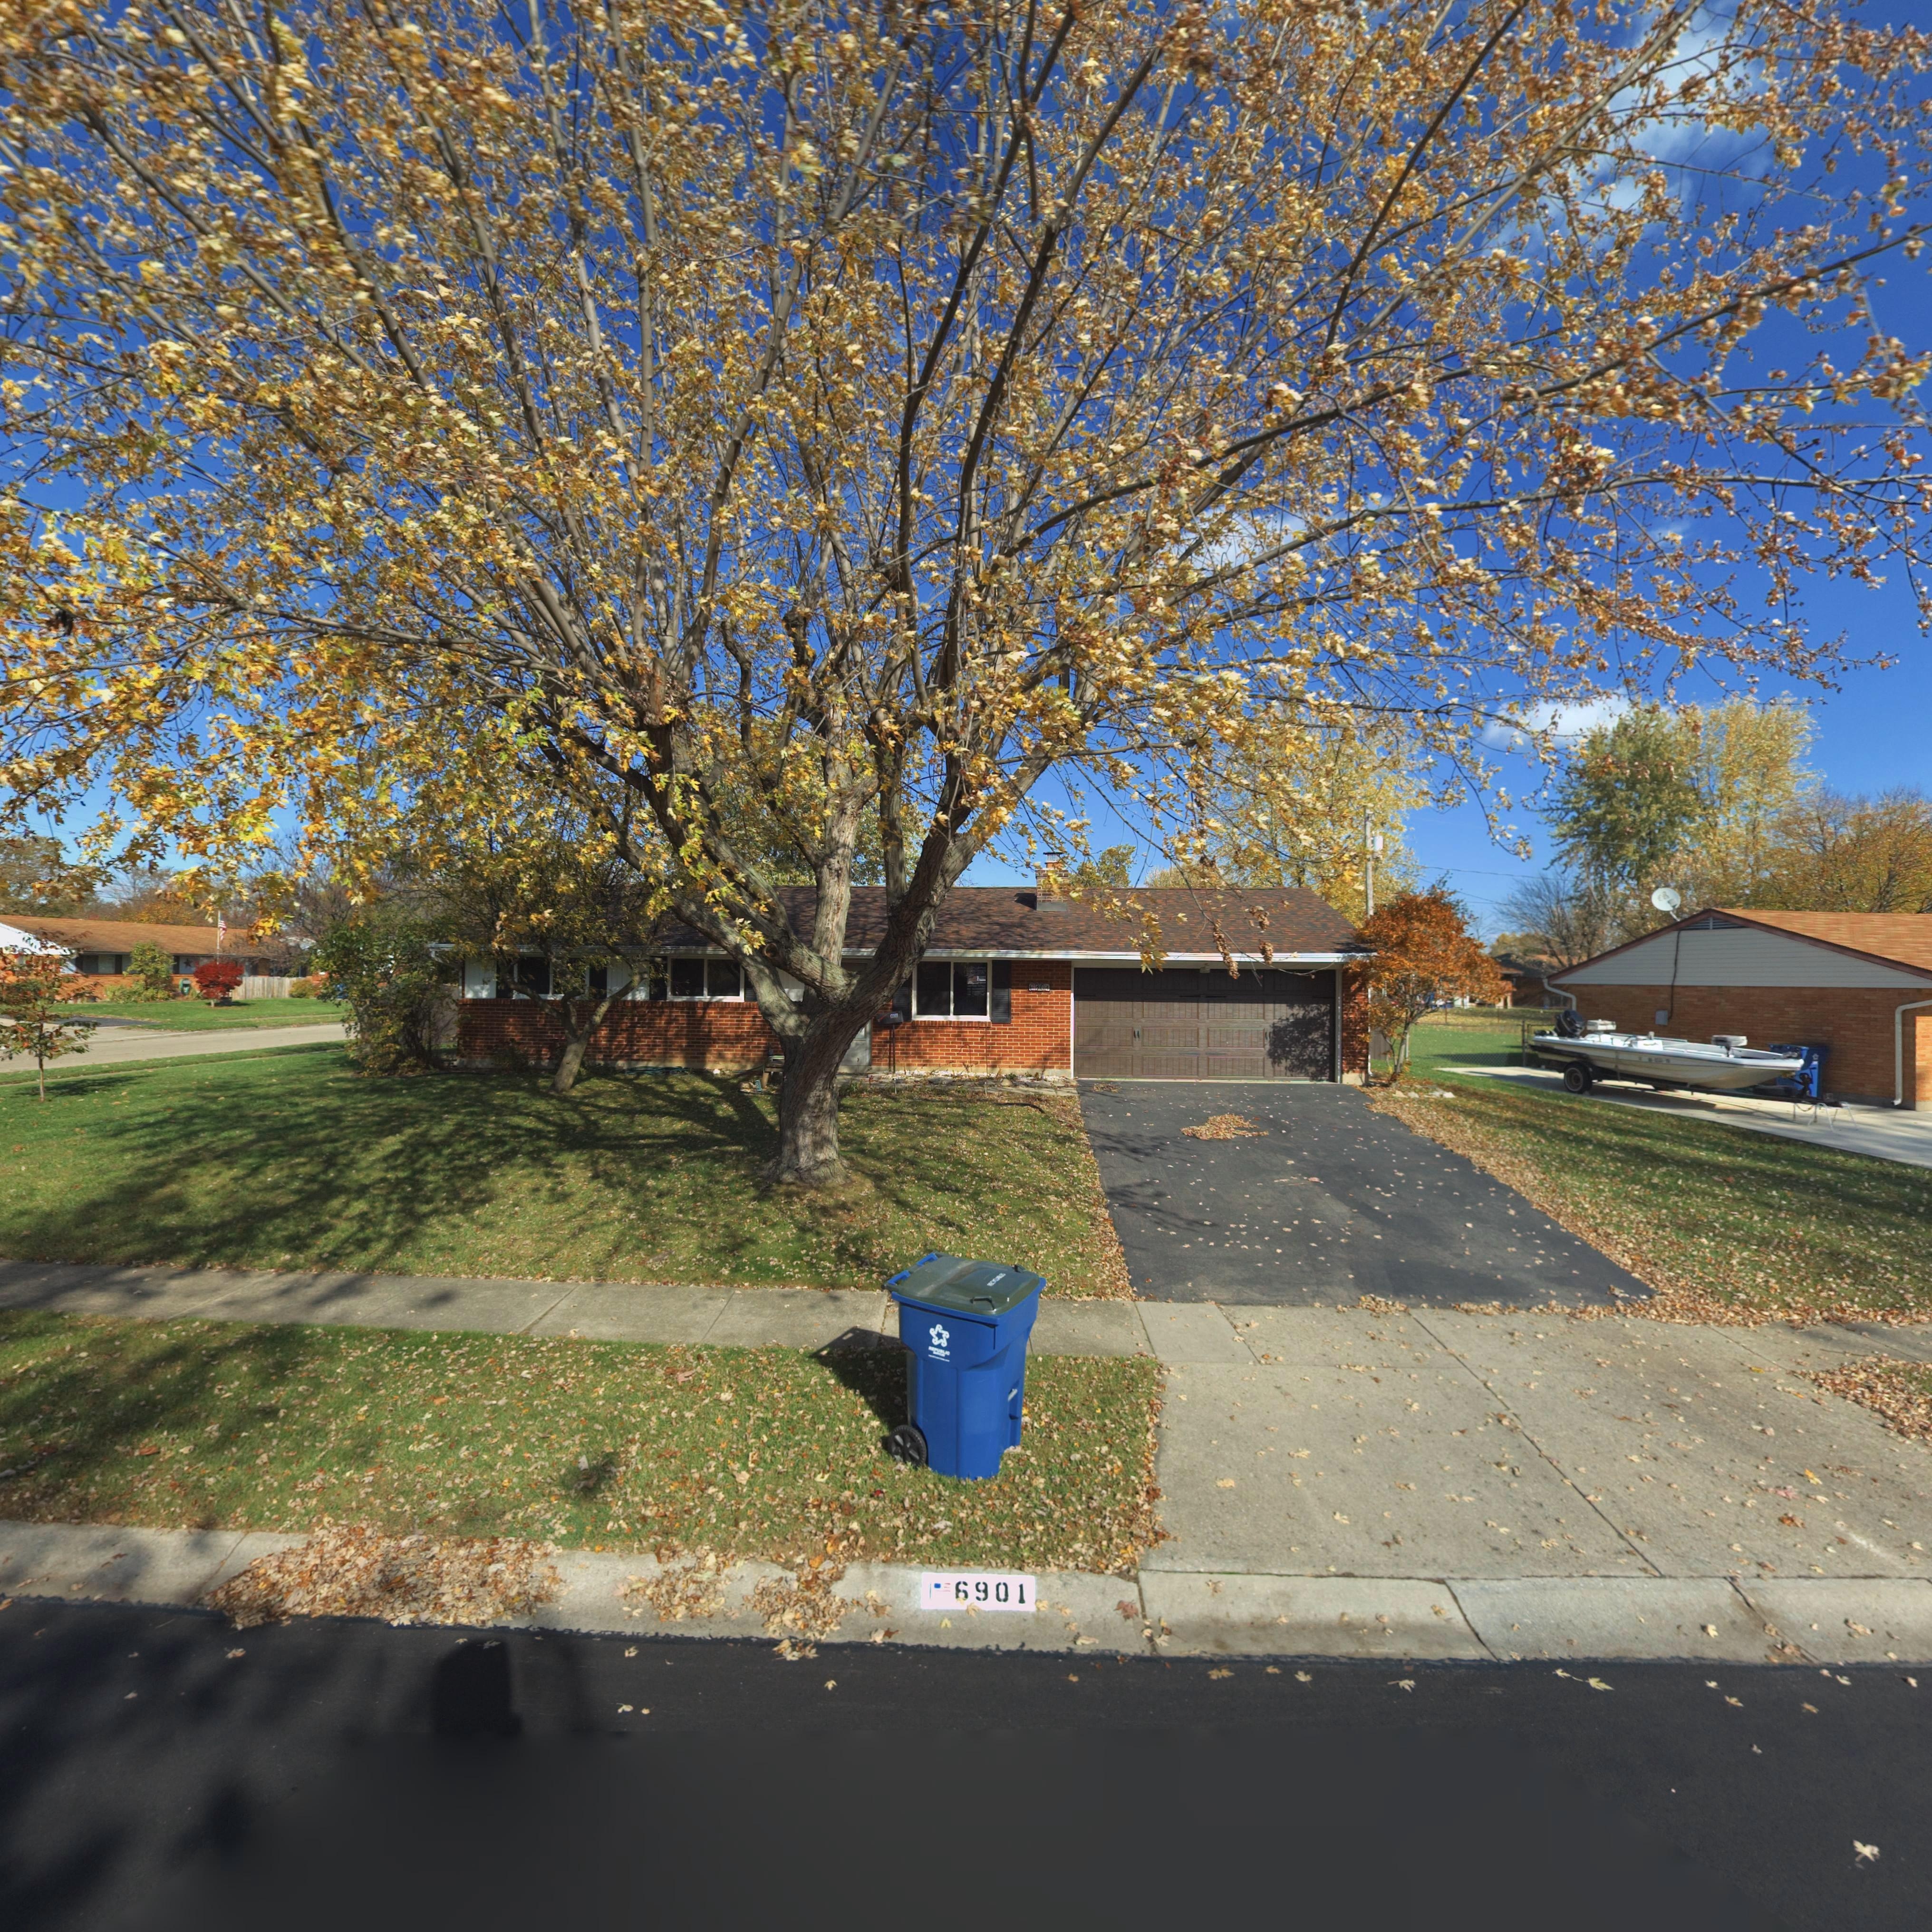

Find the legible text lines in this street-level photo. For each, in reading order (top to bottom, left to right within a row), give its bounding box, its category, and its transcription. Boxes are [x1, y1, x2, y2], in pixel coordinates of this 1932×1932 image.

[953, 1578, 1028, 1606] StreetNumber: 6901